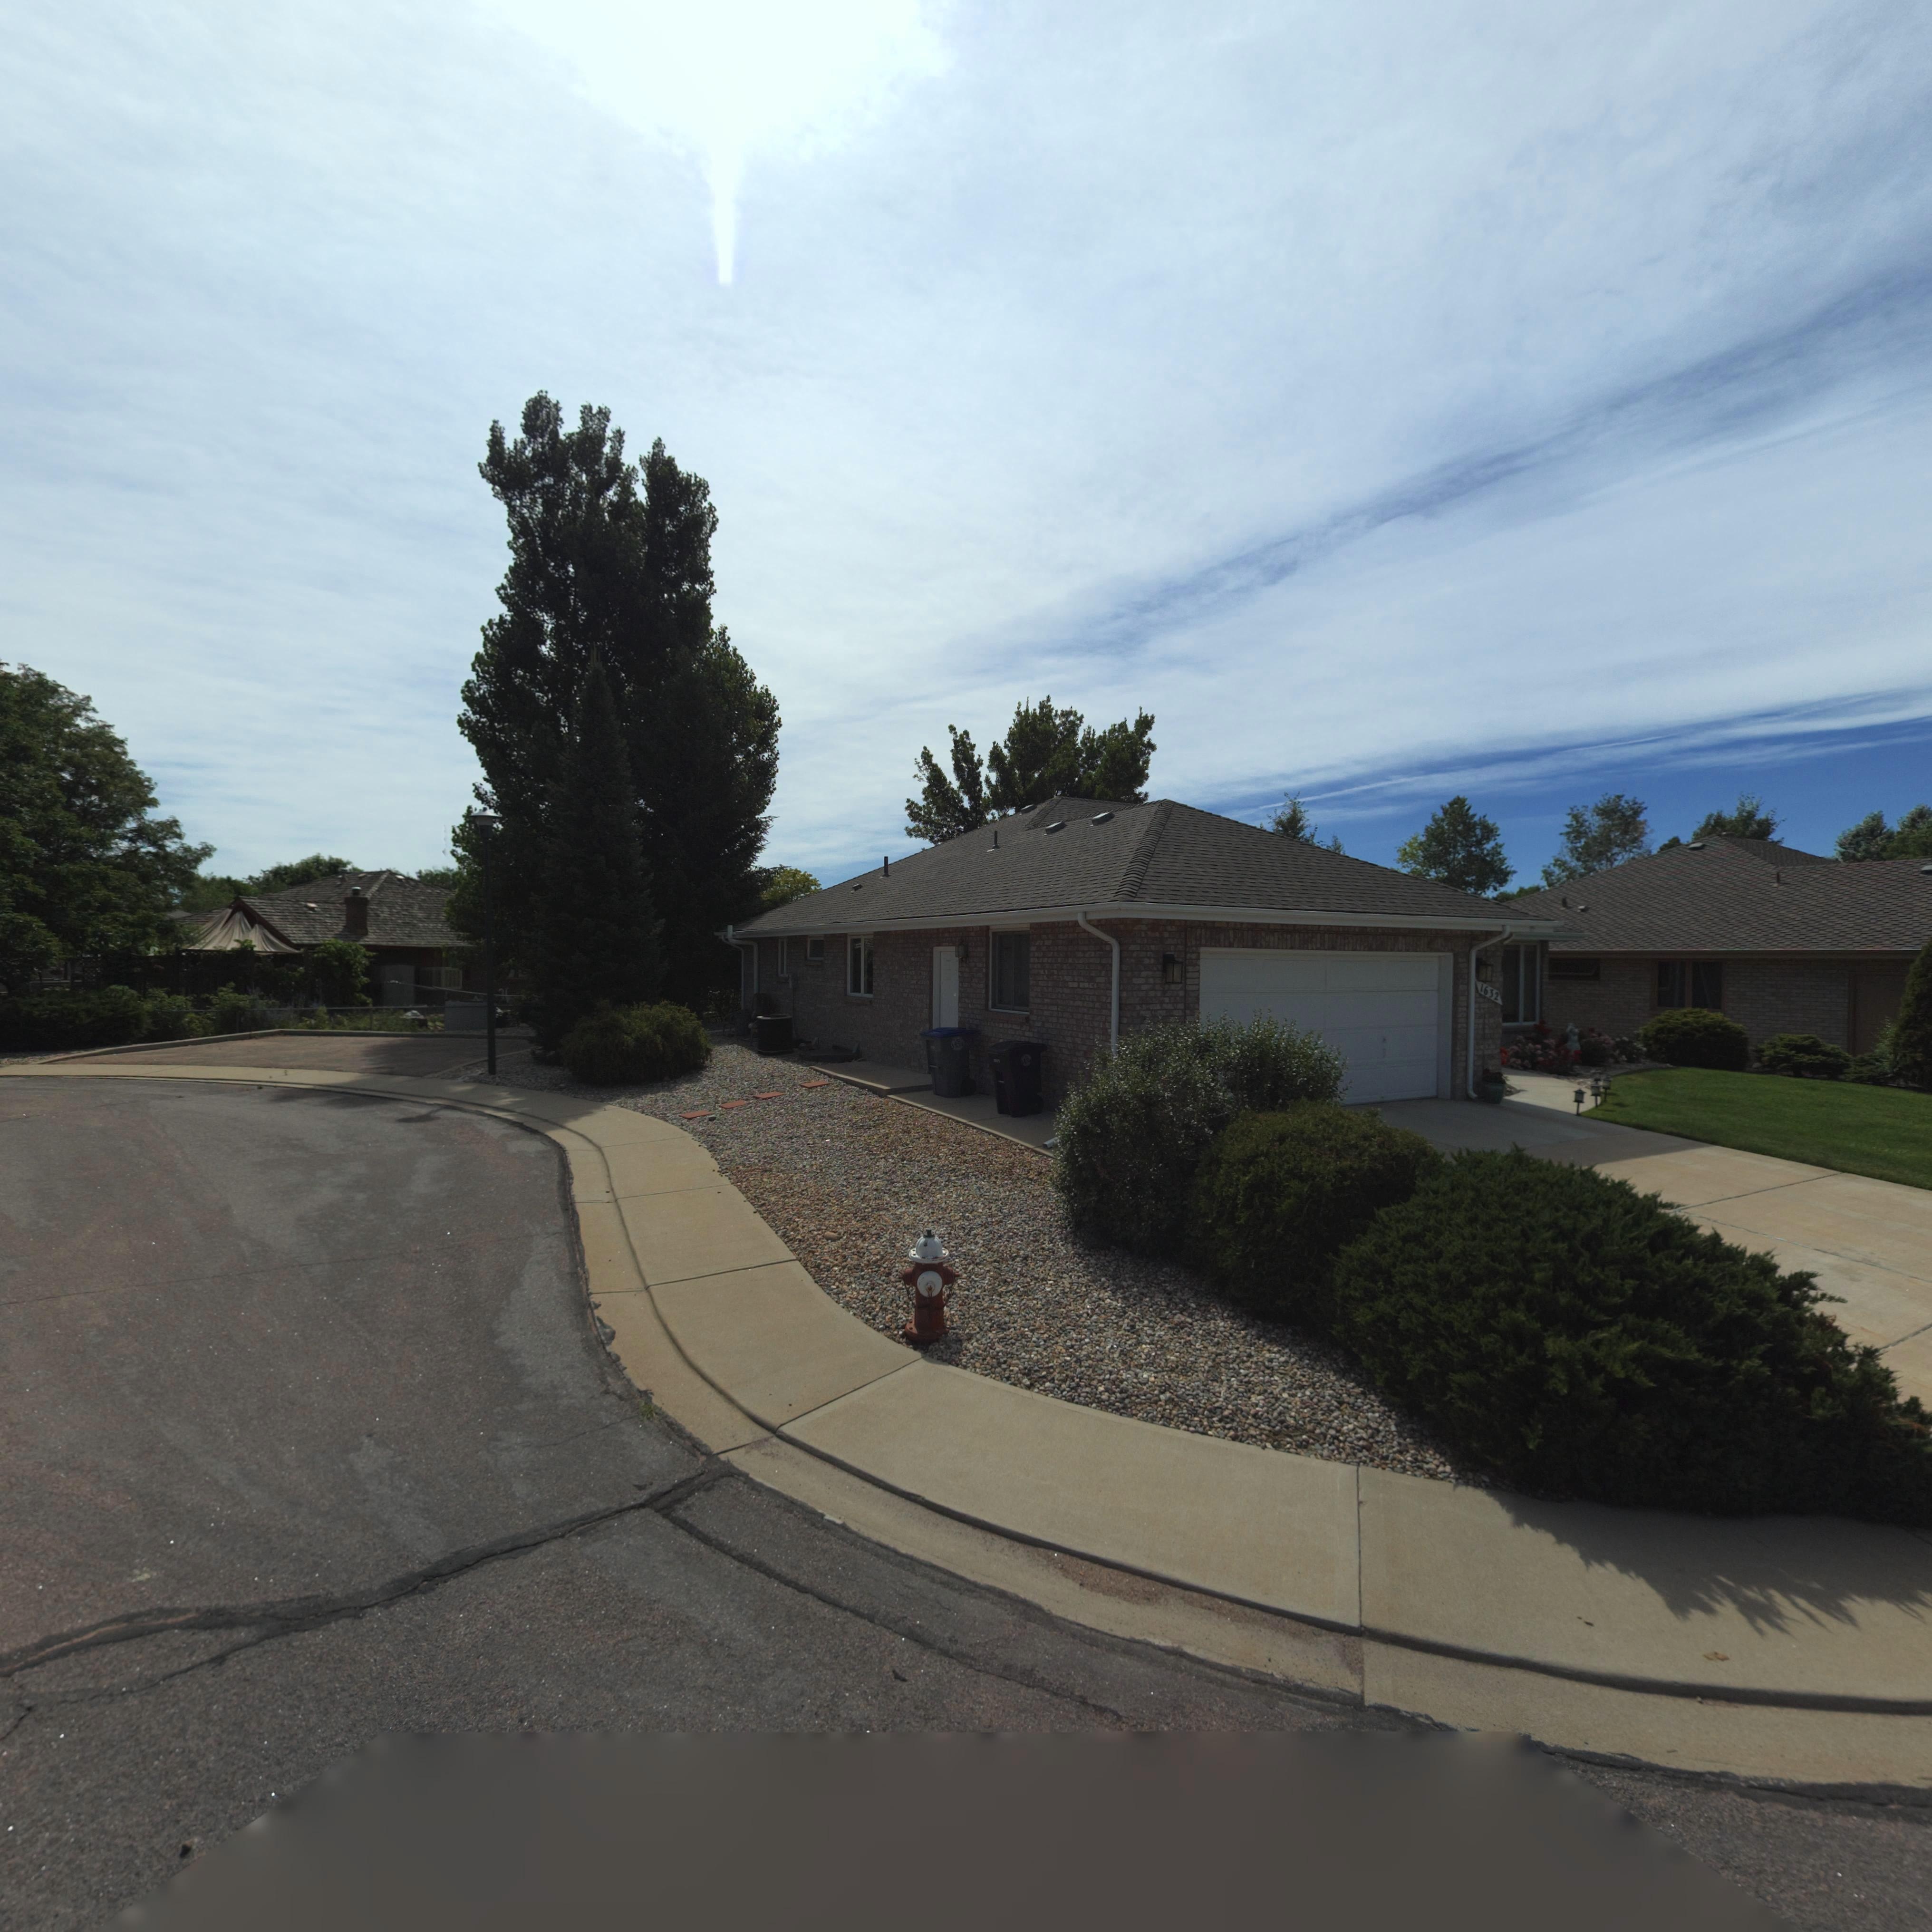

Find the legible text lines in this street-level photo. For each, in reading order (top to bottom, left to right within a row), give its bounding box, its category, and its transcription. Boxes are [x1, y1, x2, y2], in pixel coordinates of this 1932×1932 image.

[1479, 983, 1499, 1001] StreetNumber: 1632